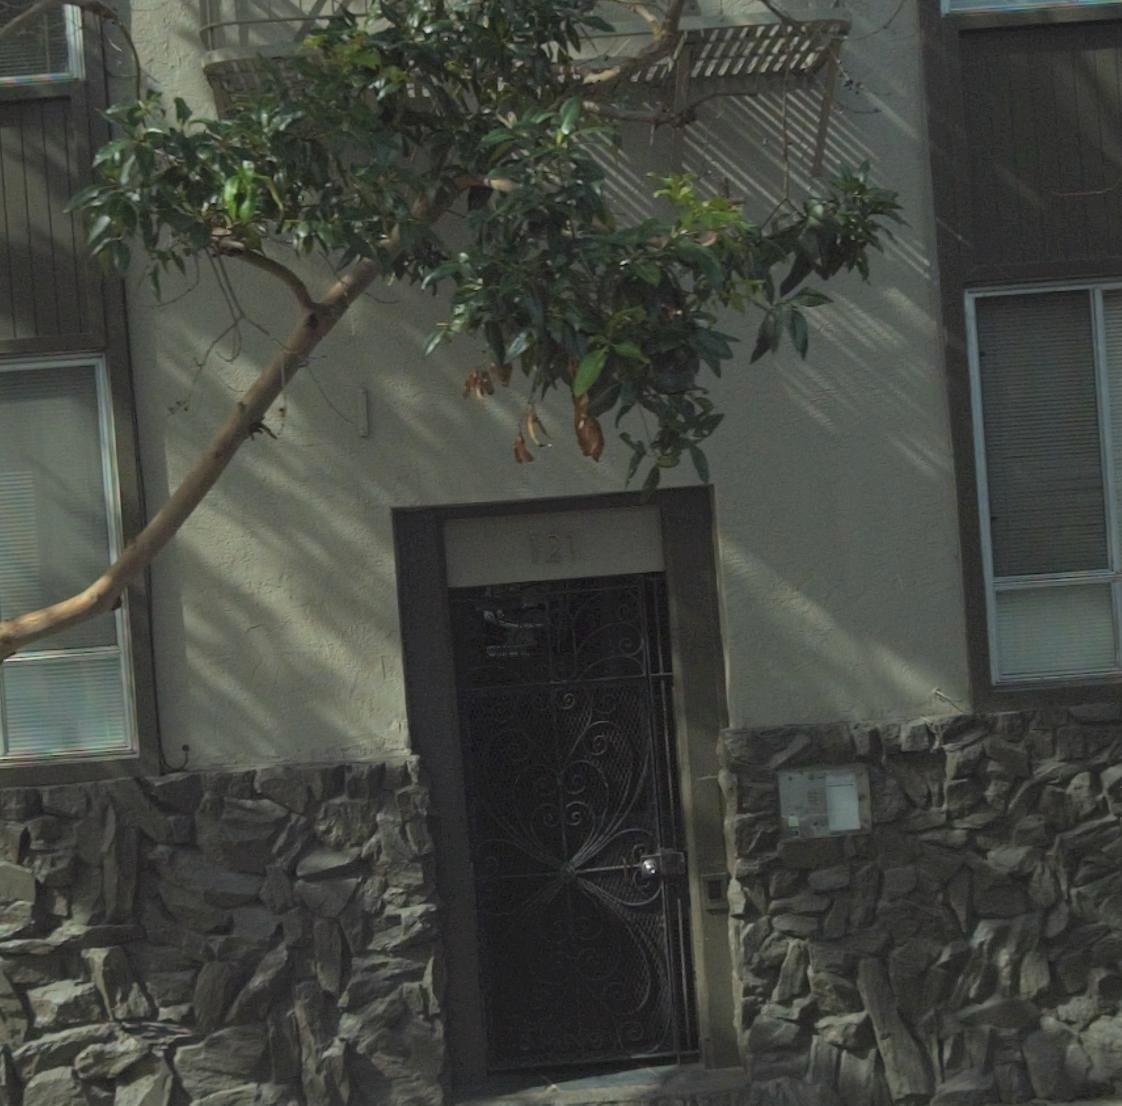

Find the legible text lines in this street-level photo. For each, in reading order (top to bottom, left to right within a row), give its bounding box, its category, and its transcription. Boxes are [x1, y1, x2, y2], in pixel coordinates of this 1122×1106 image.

[526, 531, 580, 567] StreetNumber: 121